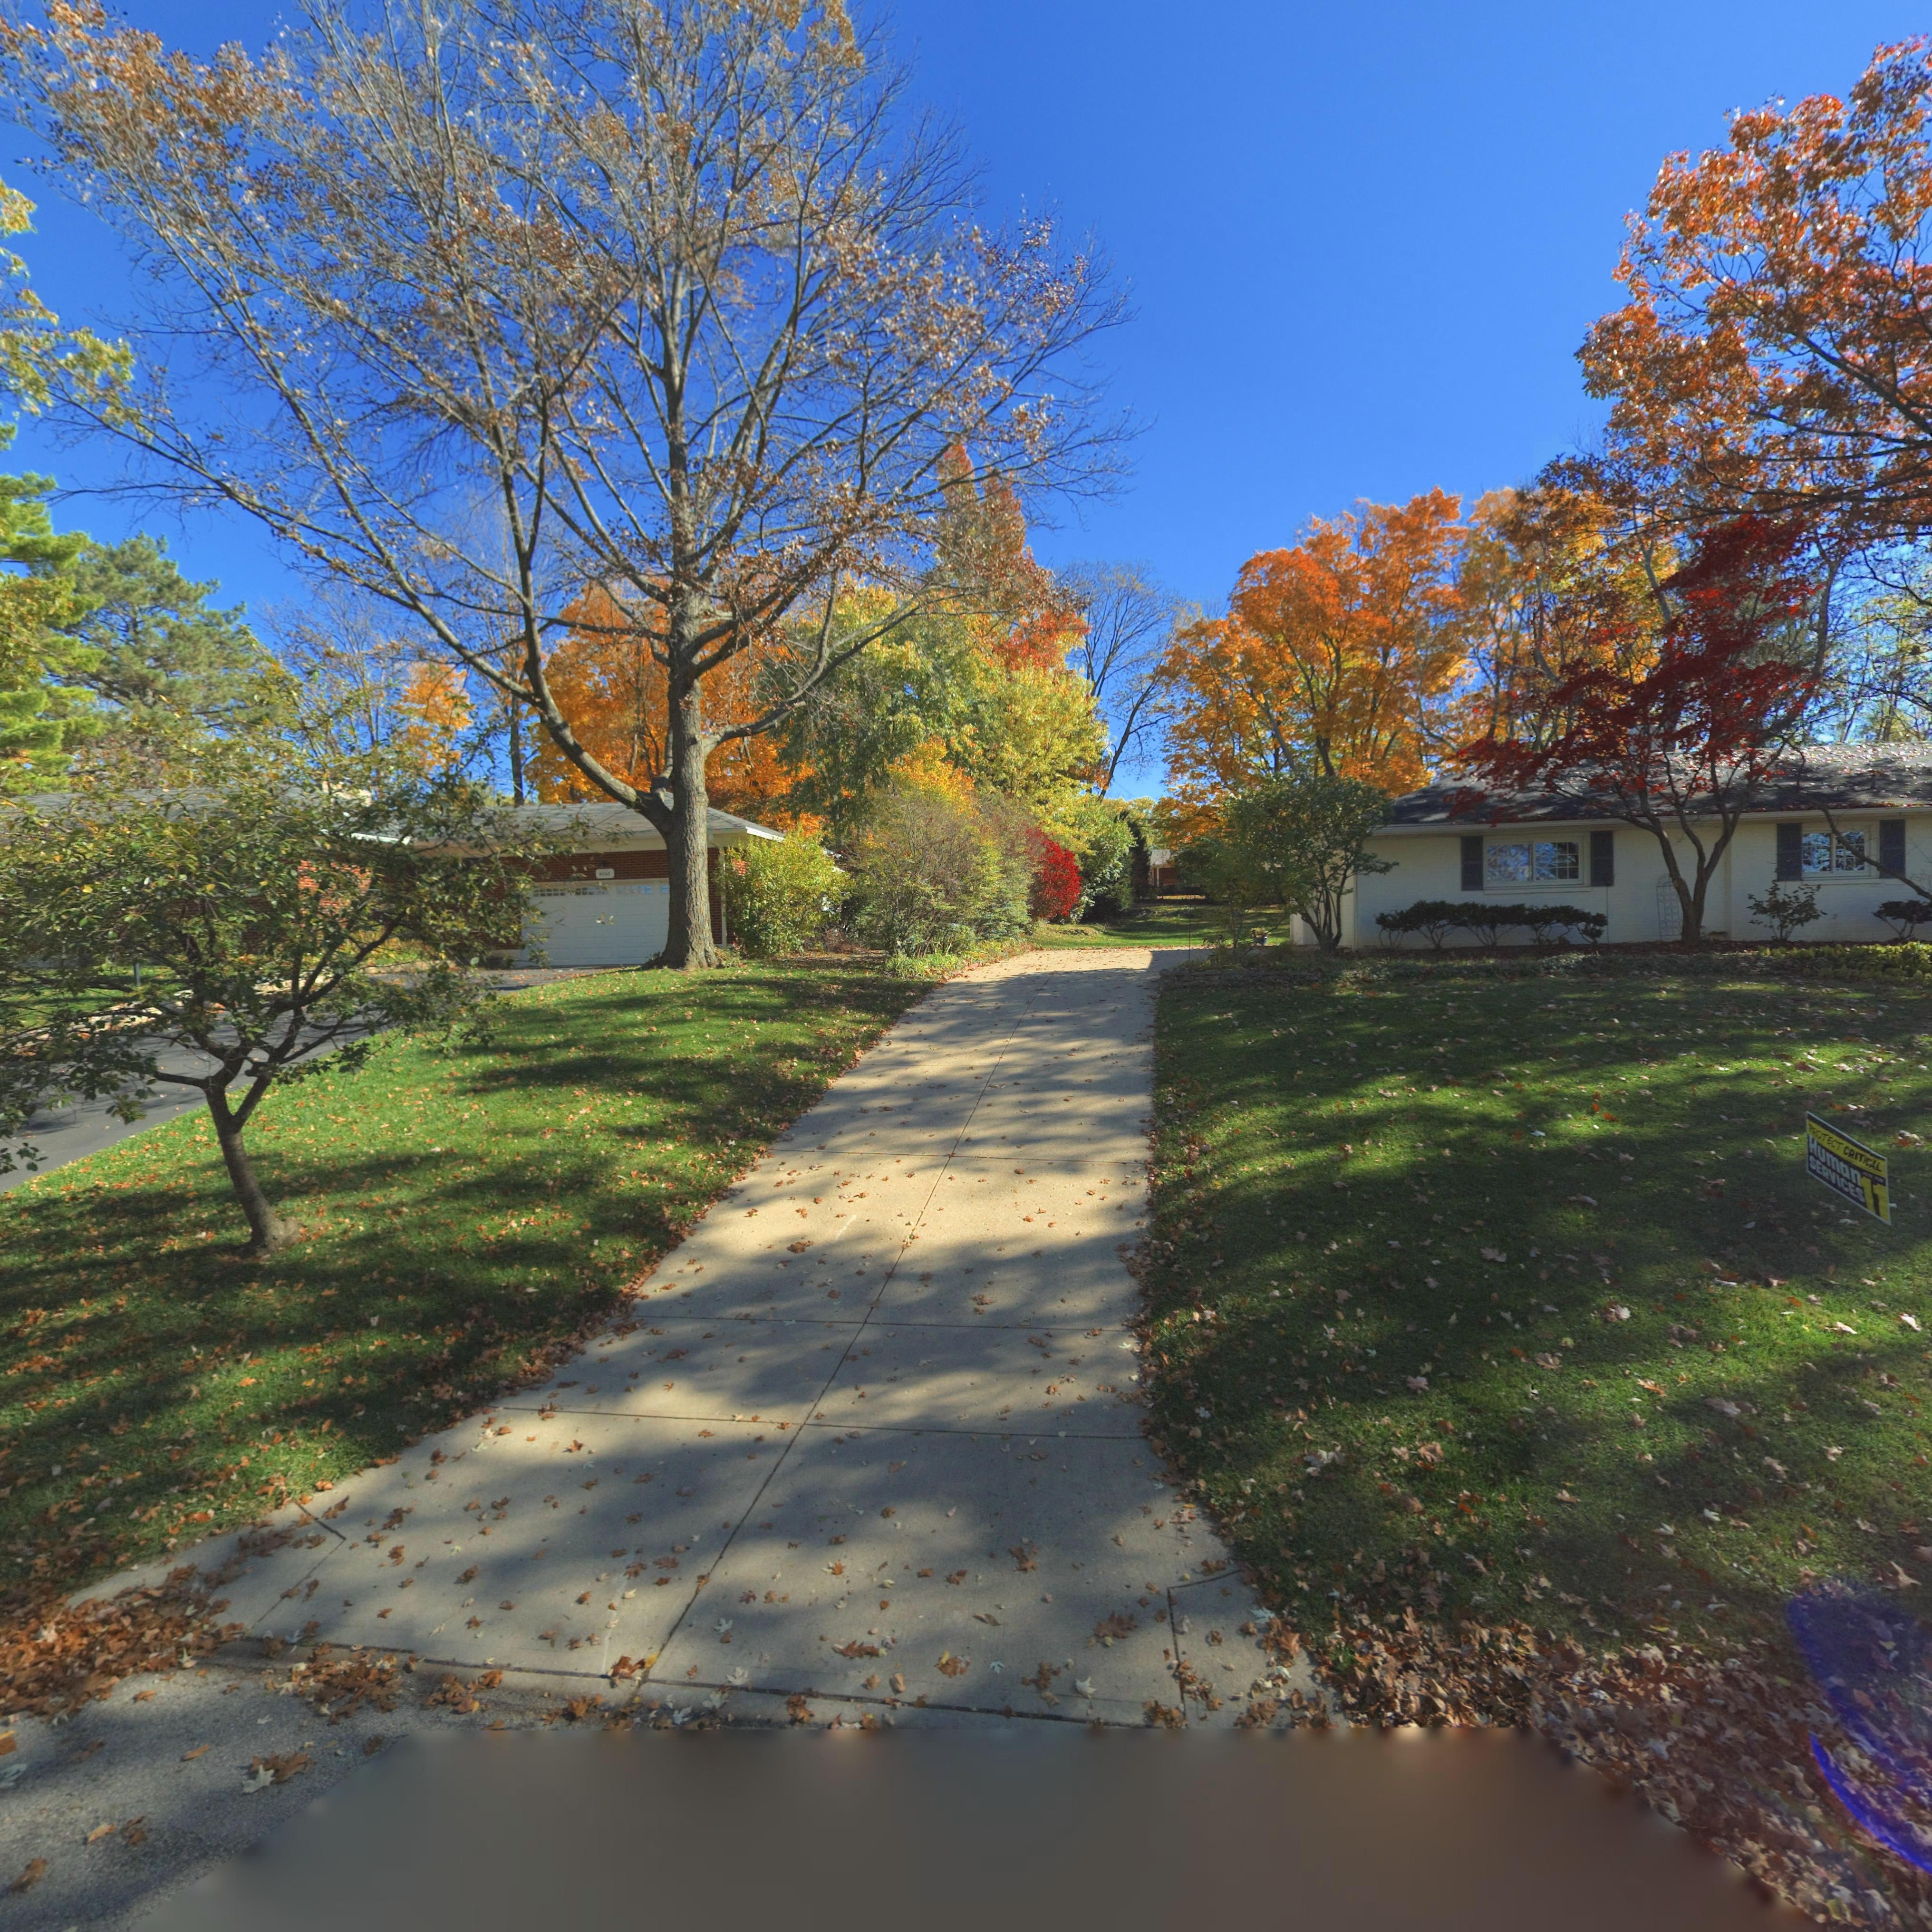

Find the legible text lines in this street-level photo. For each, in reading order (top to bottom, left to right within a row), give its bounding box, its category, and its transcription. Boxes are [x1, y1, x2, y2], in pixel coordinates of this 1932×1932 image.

[598, 871, 611, 877] StreetNumber: 4065